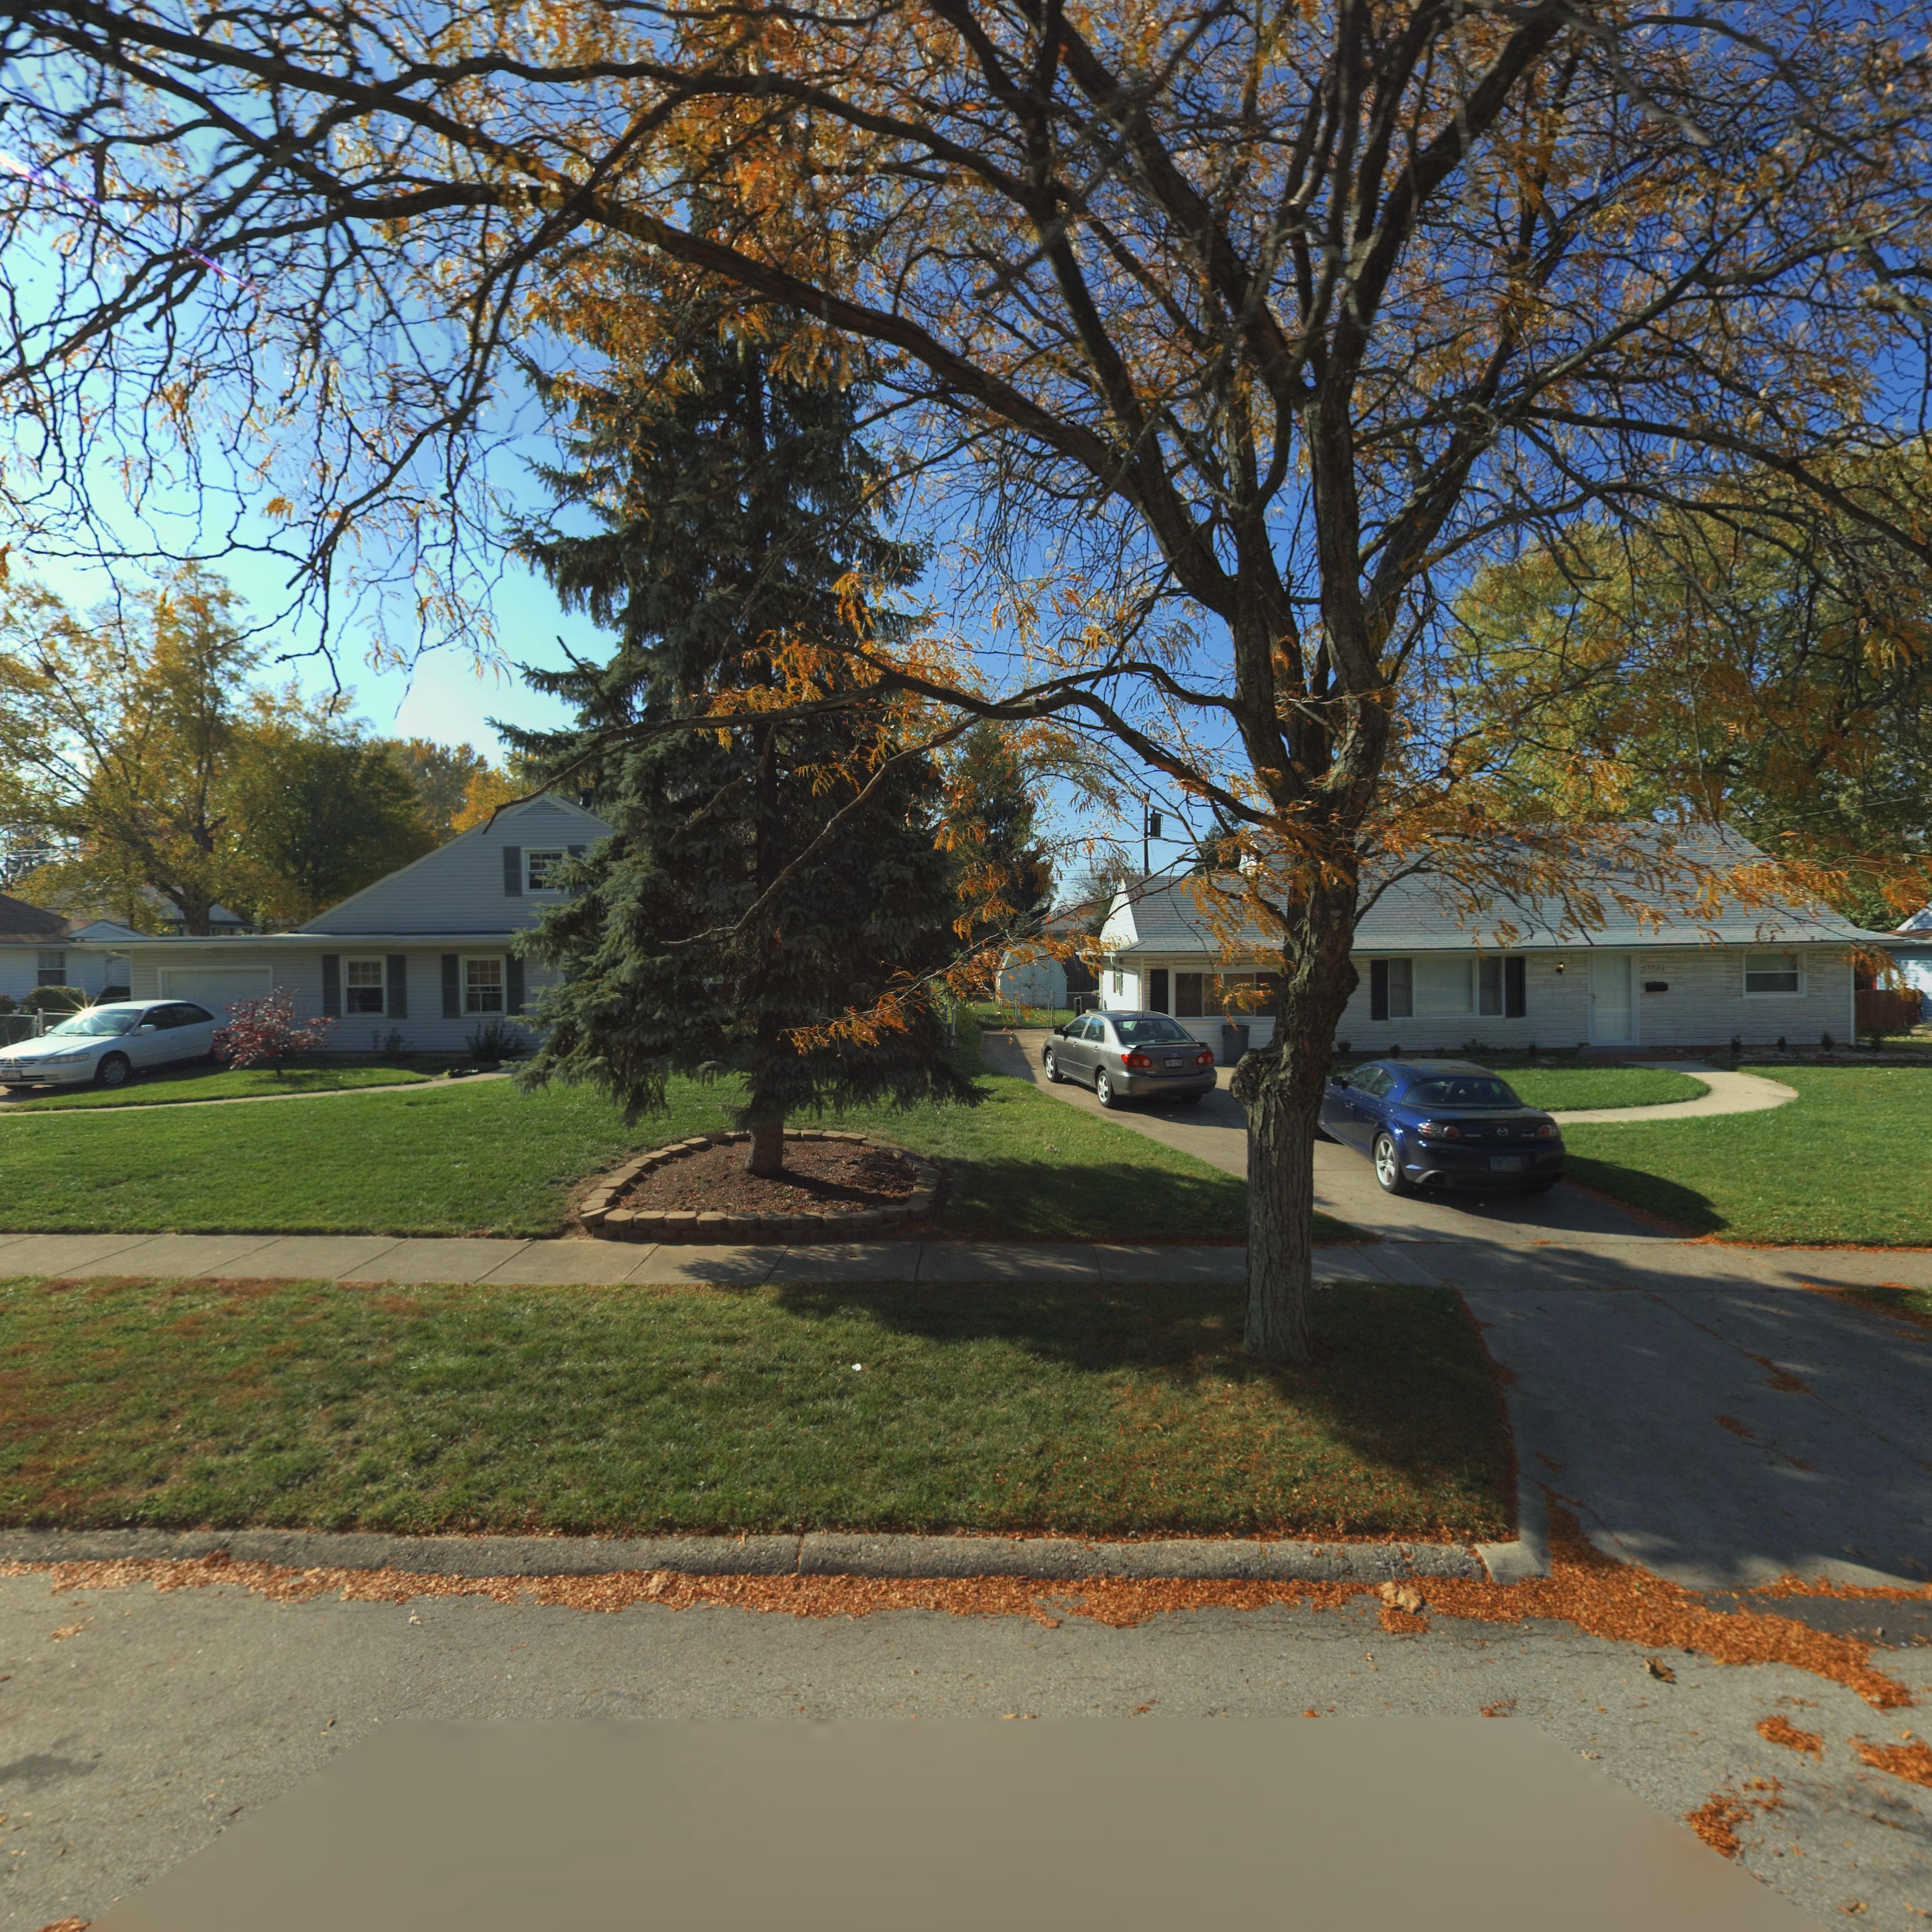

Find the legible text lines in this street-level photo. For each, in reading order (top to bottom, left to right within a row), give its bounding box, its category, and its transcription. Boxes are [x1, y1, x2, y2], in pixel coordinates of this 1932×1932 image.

[1646, 964, 1666, 972] StreetNumber: 3723
[1165, 1060, 1182, 1066] None: E*N*472*
[1491, 1159, 1520, 1168] None: FHE*4072